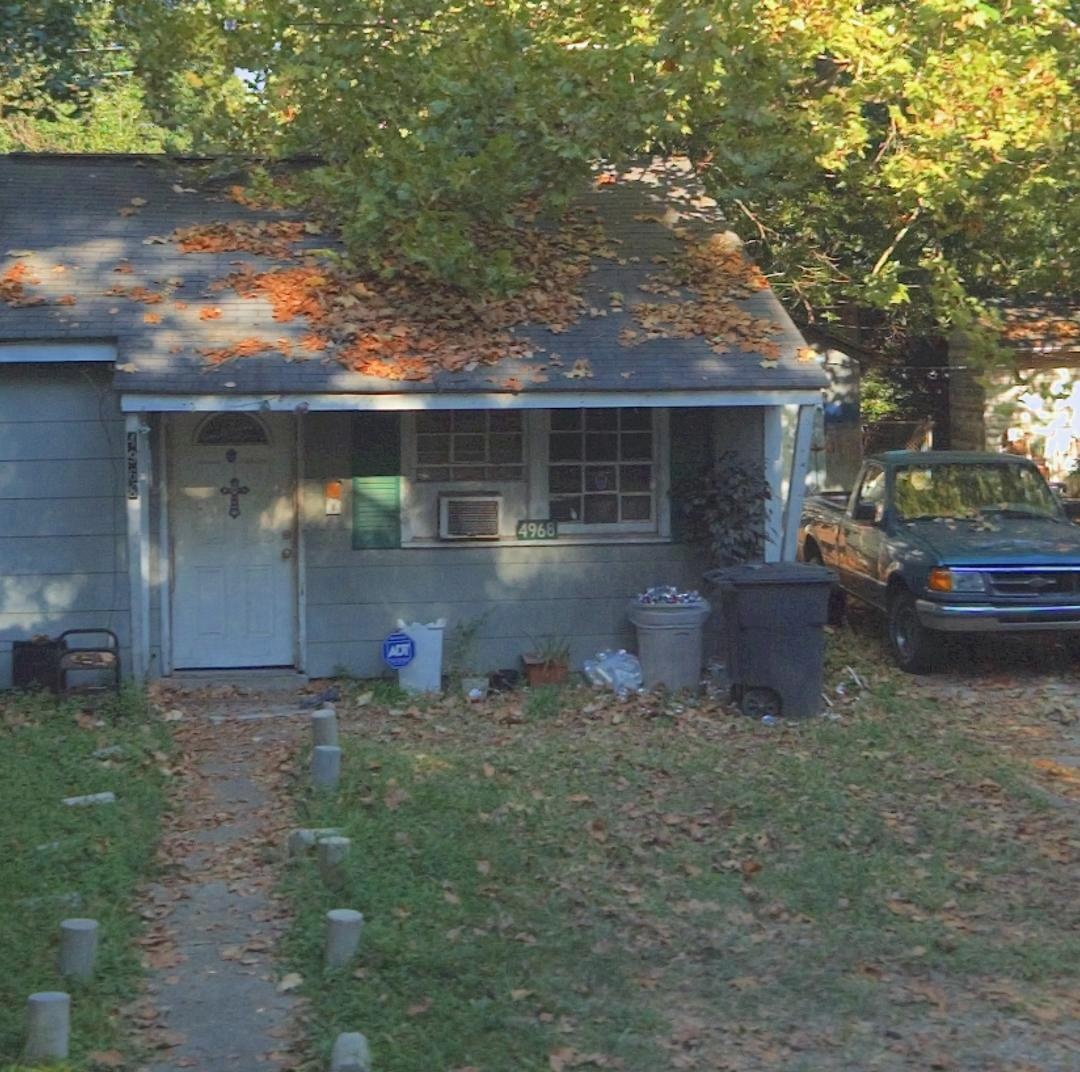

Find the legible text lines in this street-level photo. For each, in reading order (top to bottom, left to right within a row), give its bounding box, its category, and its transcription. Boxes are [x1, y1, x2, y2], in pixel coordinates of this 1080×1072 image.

[127, 431, 138, 499] StreetNumber: 4968
[517, 522, 556, 538] StreetNumber: 4968
[387, 643, 411, 658] None: ADT